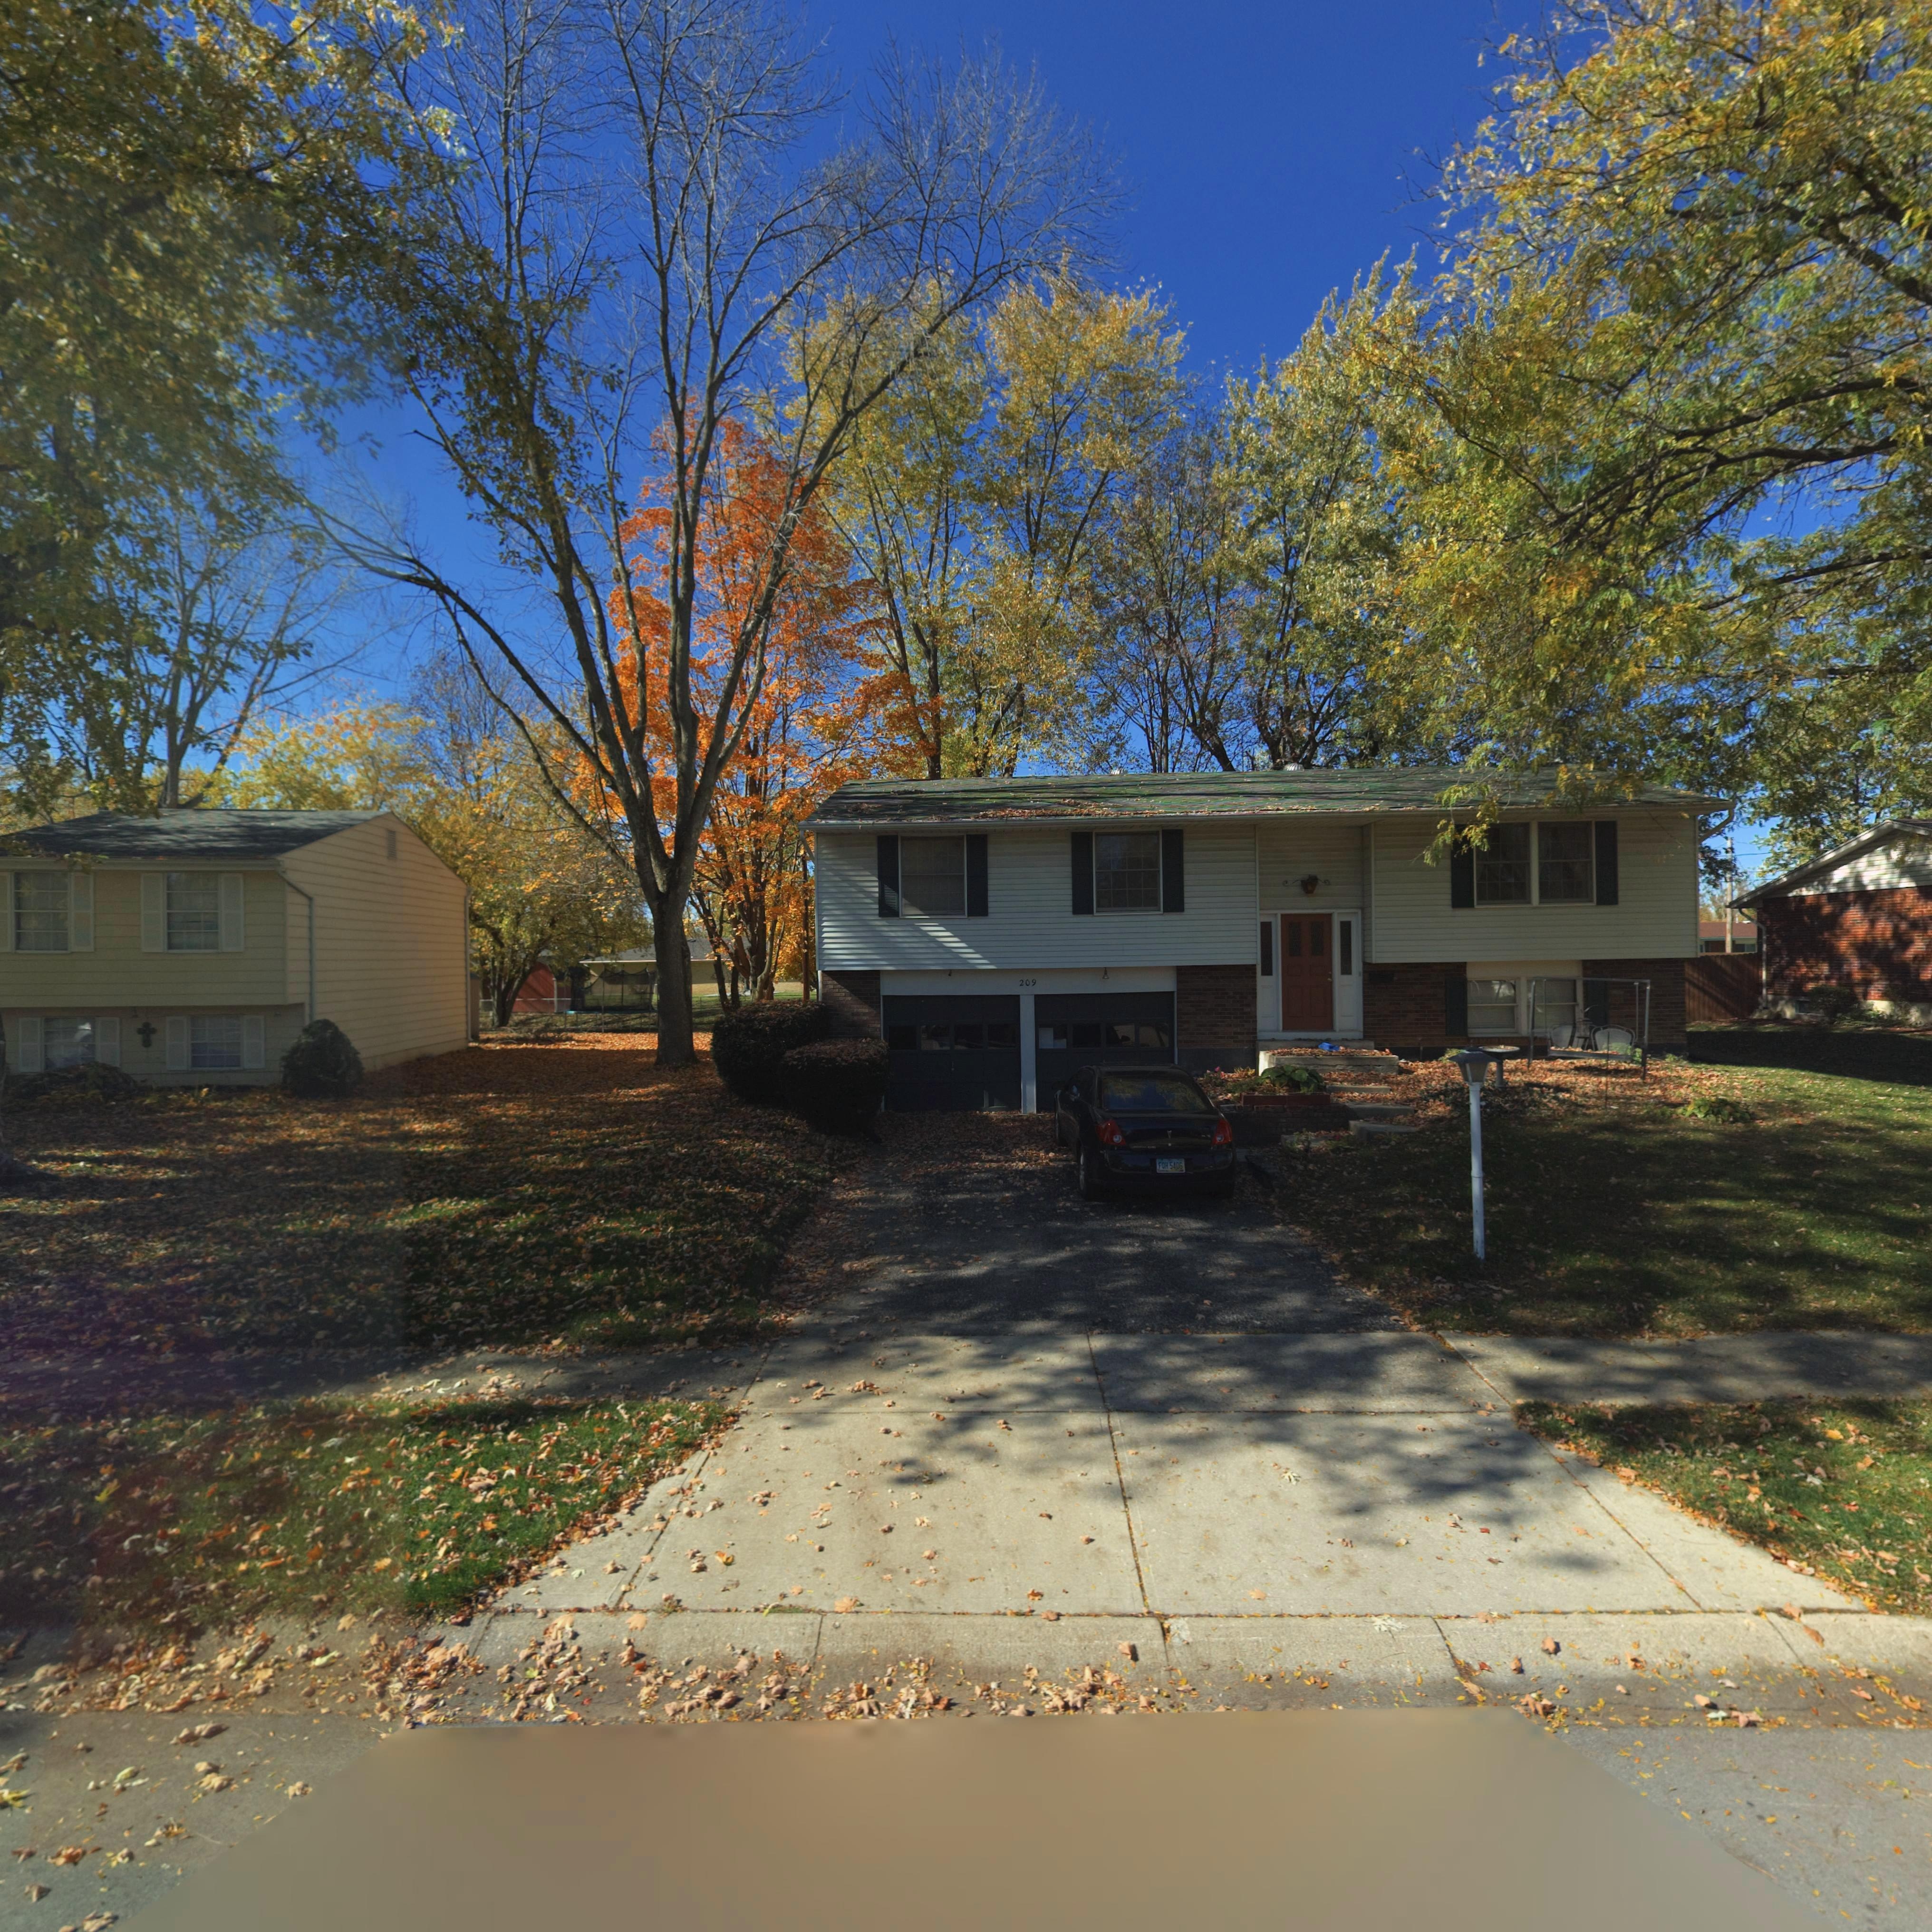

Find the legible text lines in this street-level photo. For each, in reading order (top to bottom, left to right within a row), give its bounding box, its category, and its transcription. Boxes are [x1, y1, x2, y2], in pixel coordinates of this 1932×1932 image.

[1018, 978, 1037, 987] StreetNumber: 209